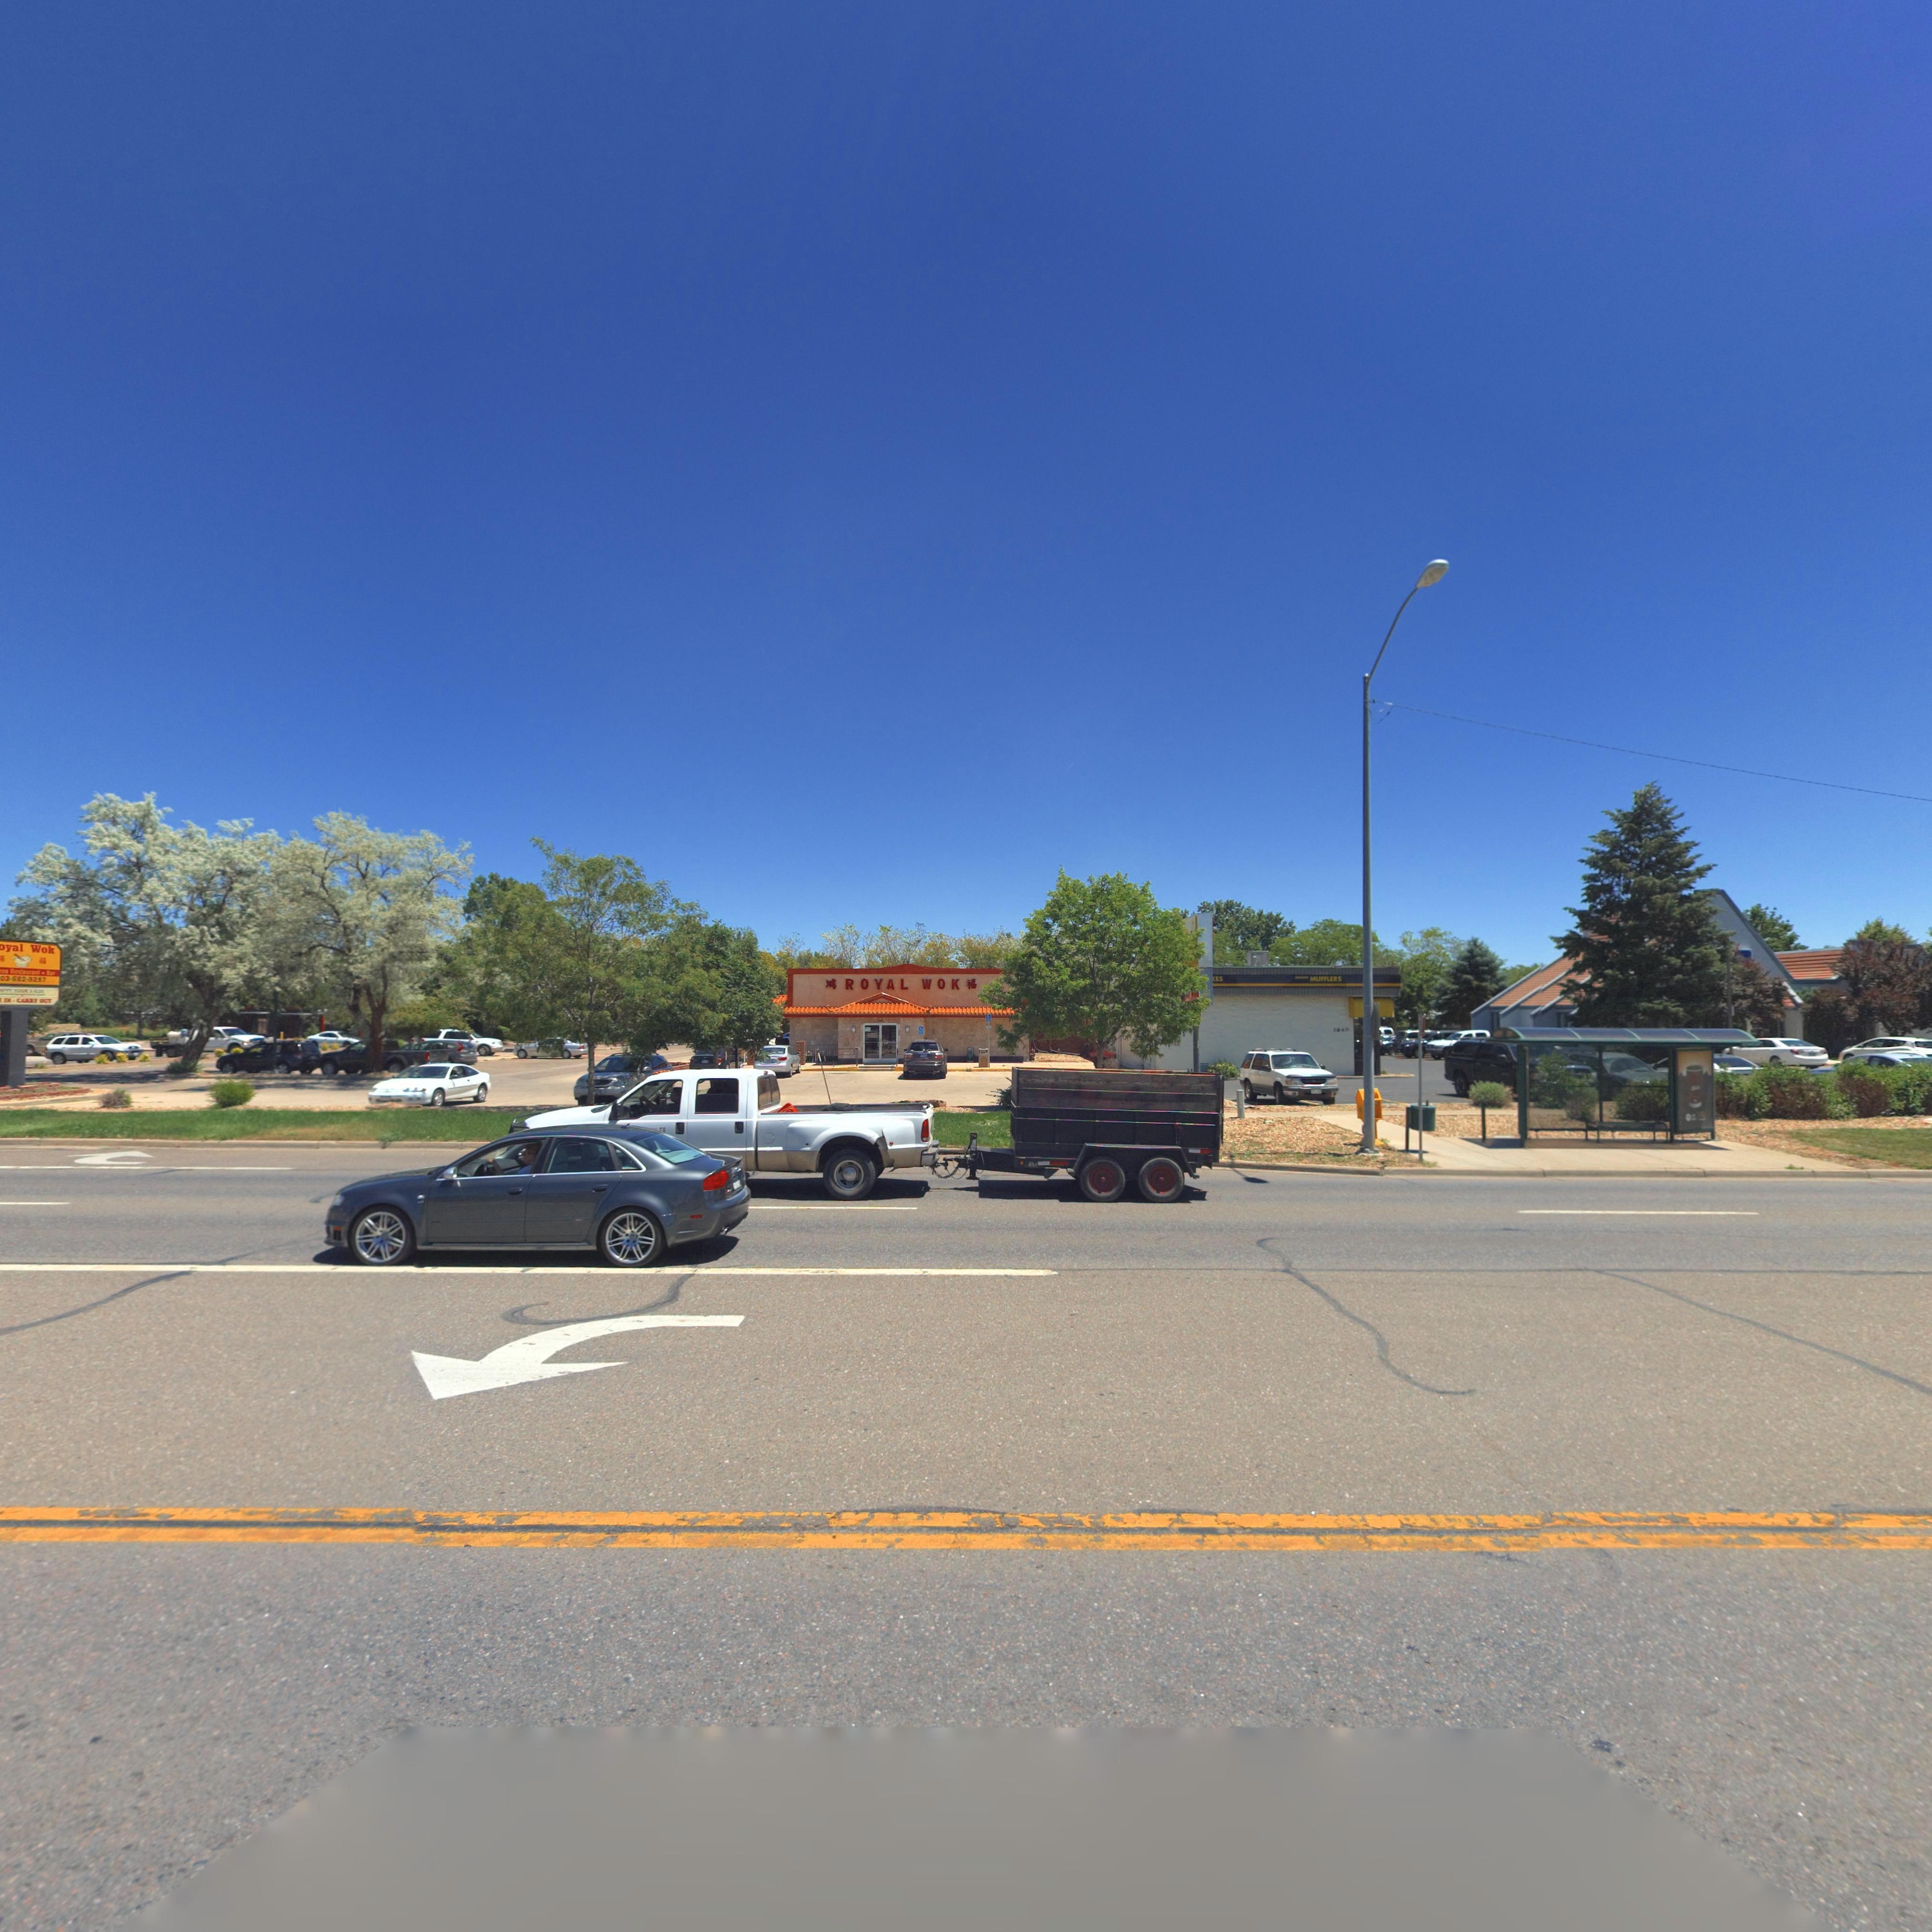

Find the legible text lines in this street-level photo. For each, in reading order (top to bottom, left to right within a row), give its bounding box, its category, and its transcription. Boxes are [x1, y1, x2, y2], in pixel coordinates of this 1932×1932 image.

[0, 943, 55, 954] BusinessName: oyal Wok
[843, 977, 961, 990] BusinessName: ROYAL WOK
[1309, 976, 1342, 982] StreetNumber: 1040
[1333, 1027, 1350, 1033] StreetNumber: 1940